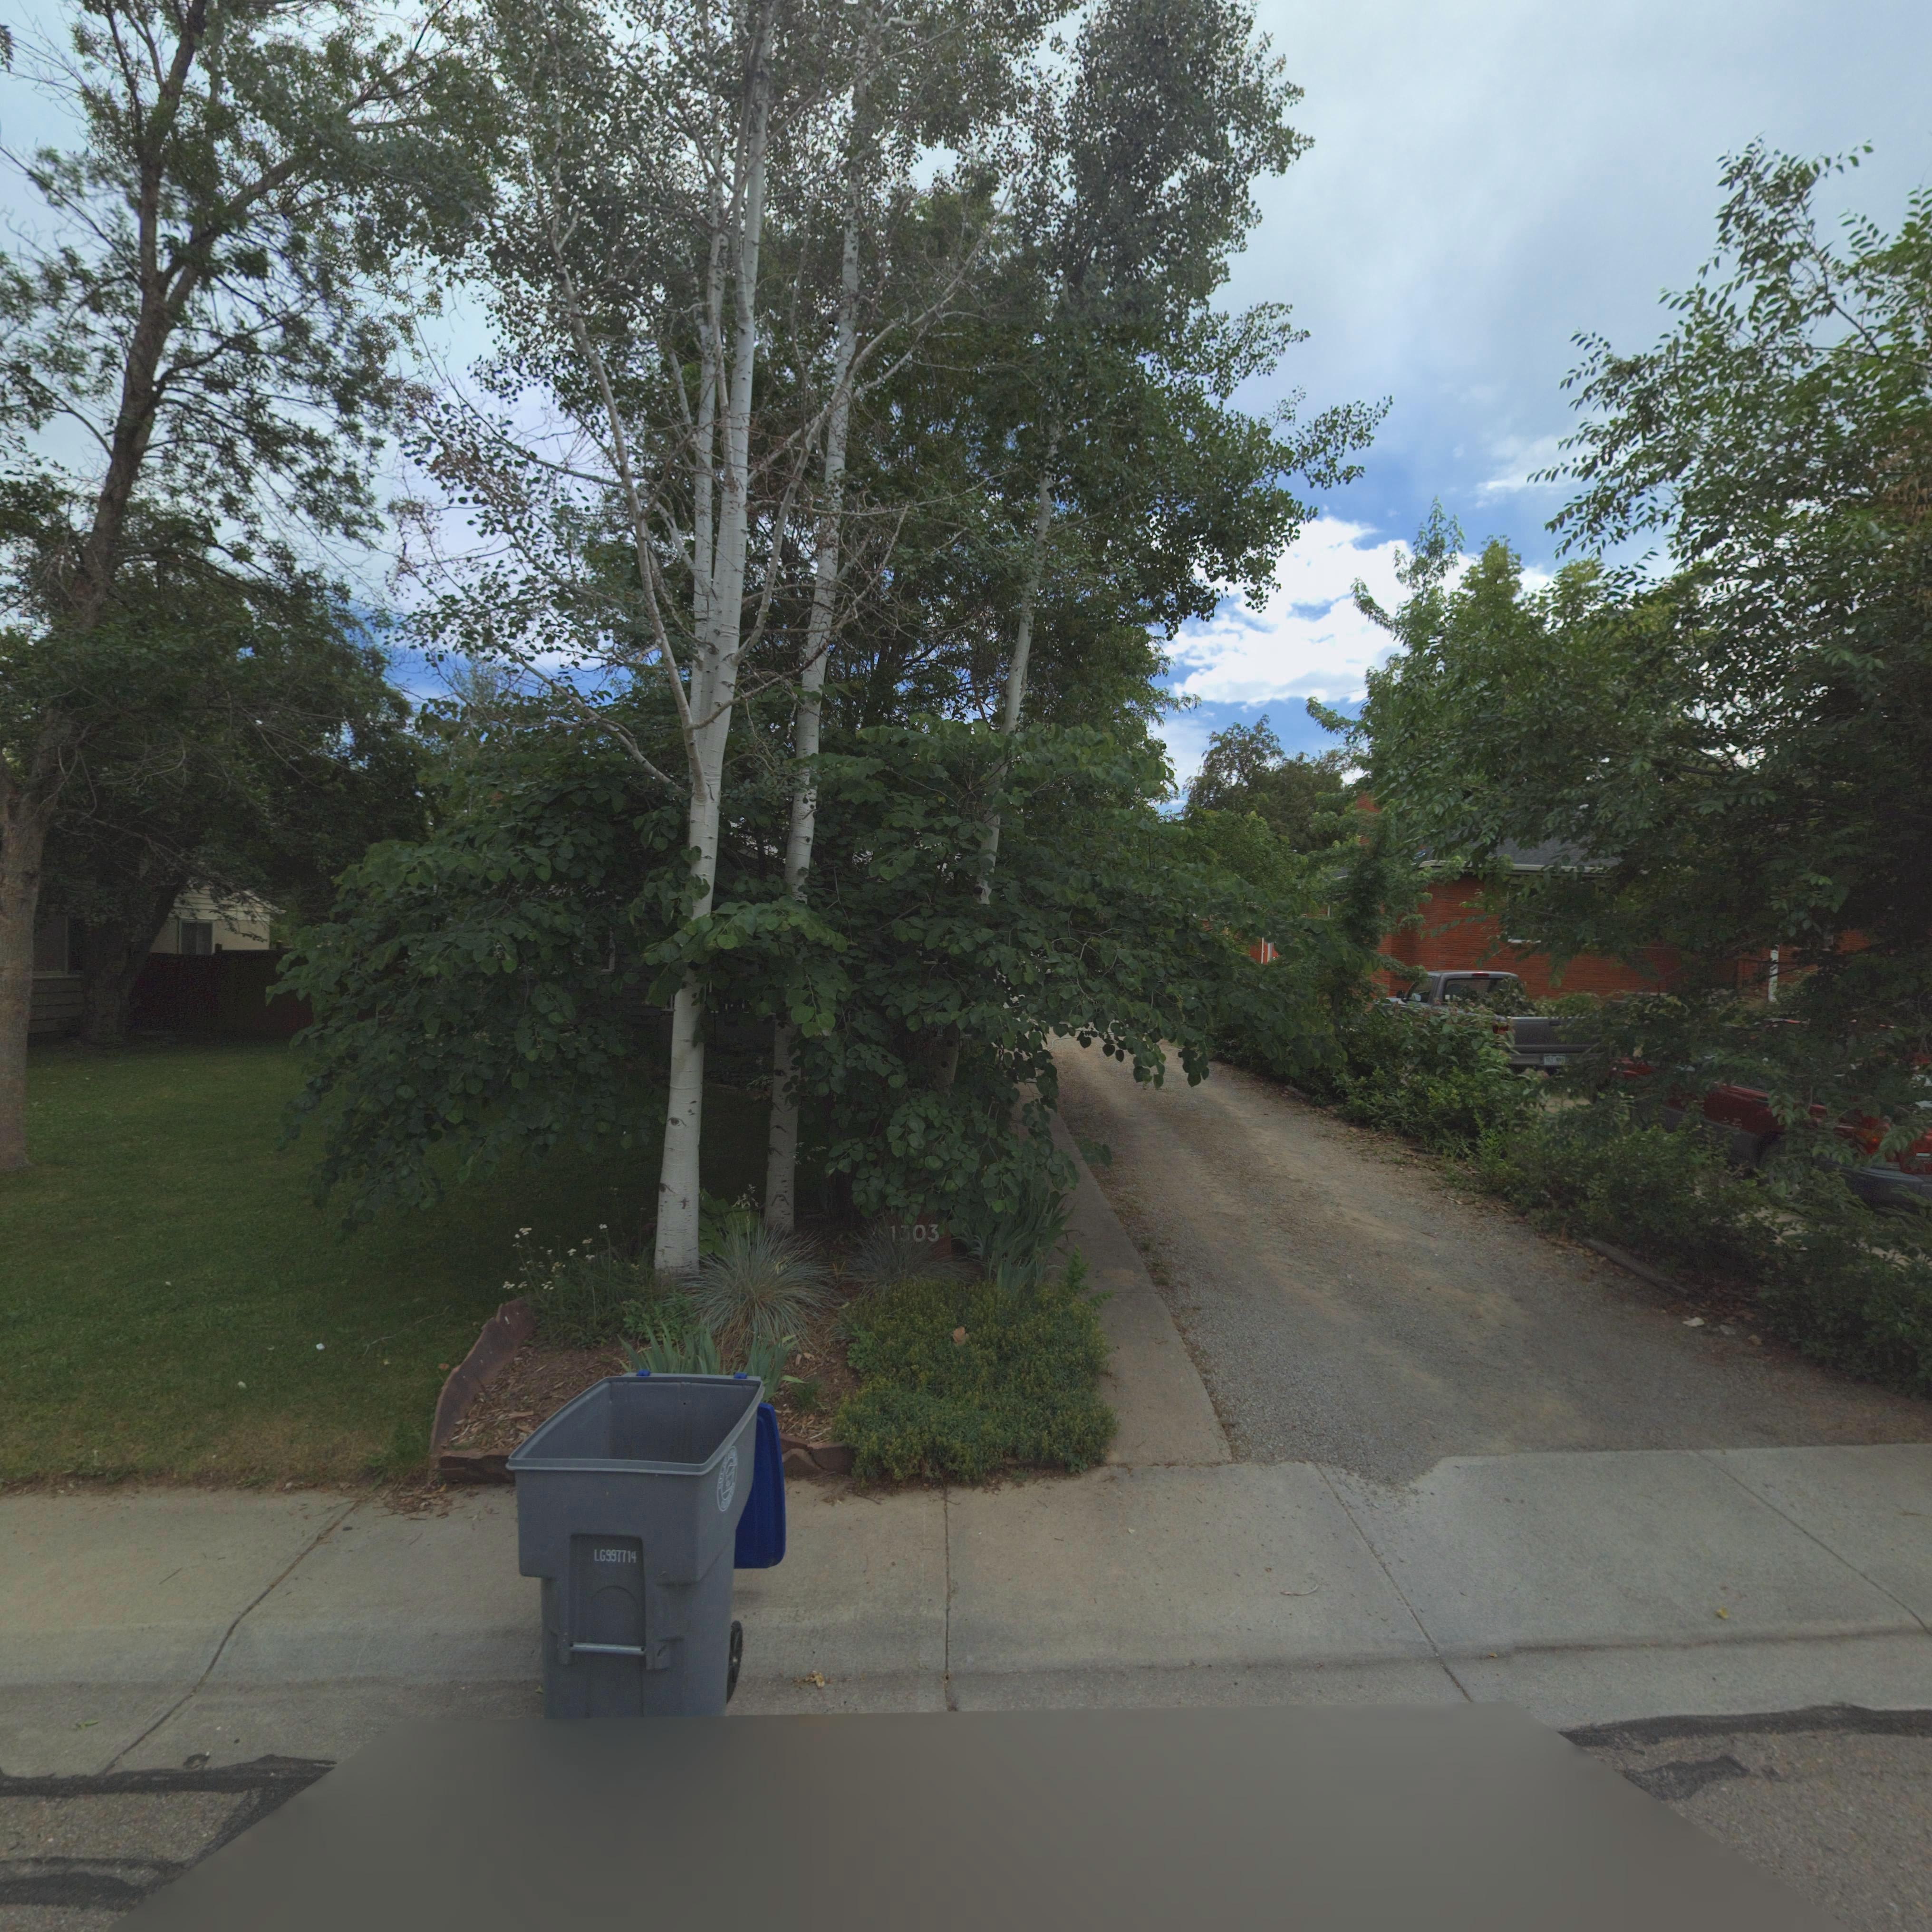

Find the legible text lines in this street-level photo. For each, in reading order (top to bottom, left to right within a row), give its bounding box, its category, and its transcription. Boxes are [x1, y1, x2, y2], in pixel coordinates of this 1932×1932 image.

[889, 1224, 939, 1243] StreetNumber: 1303